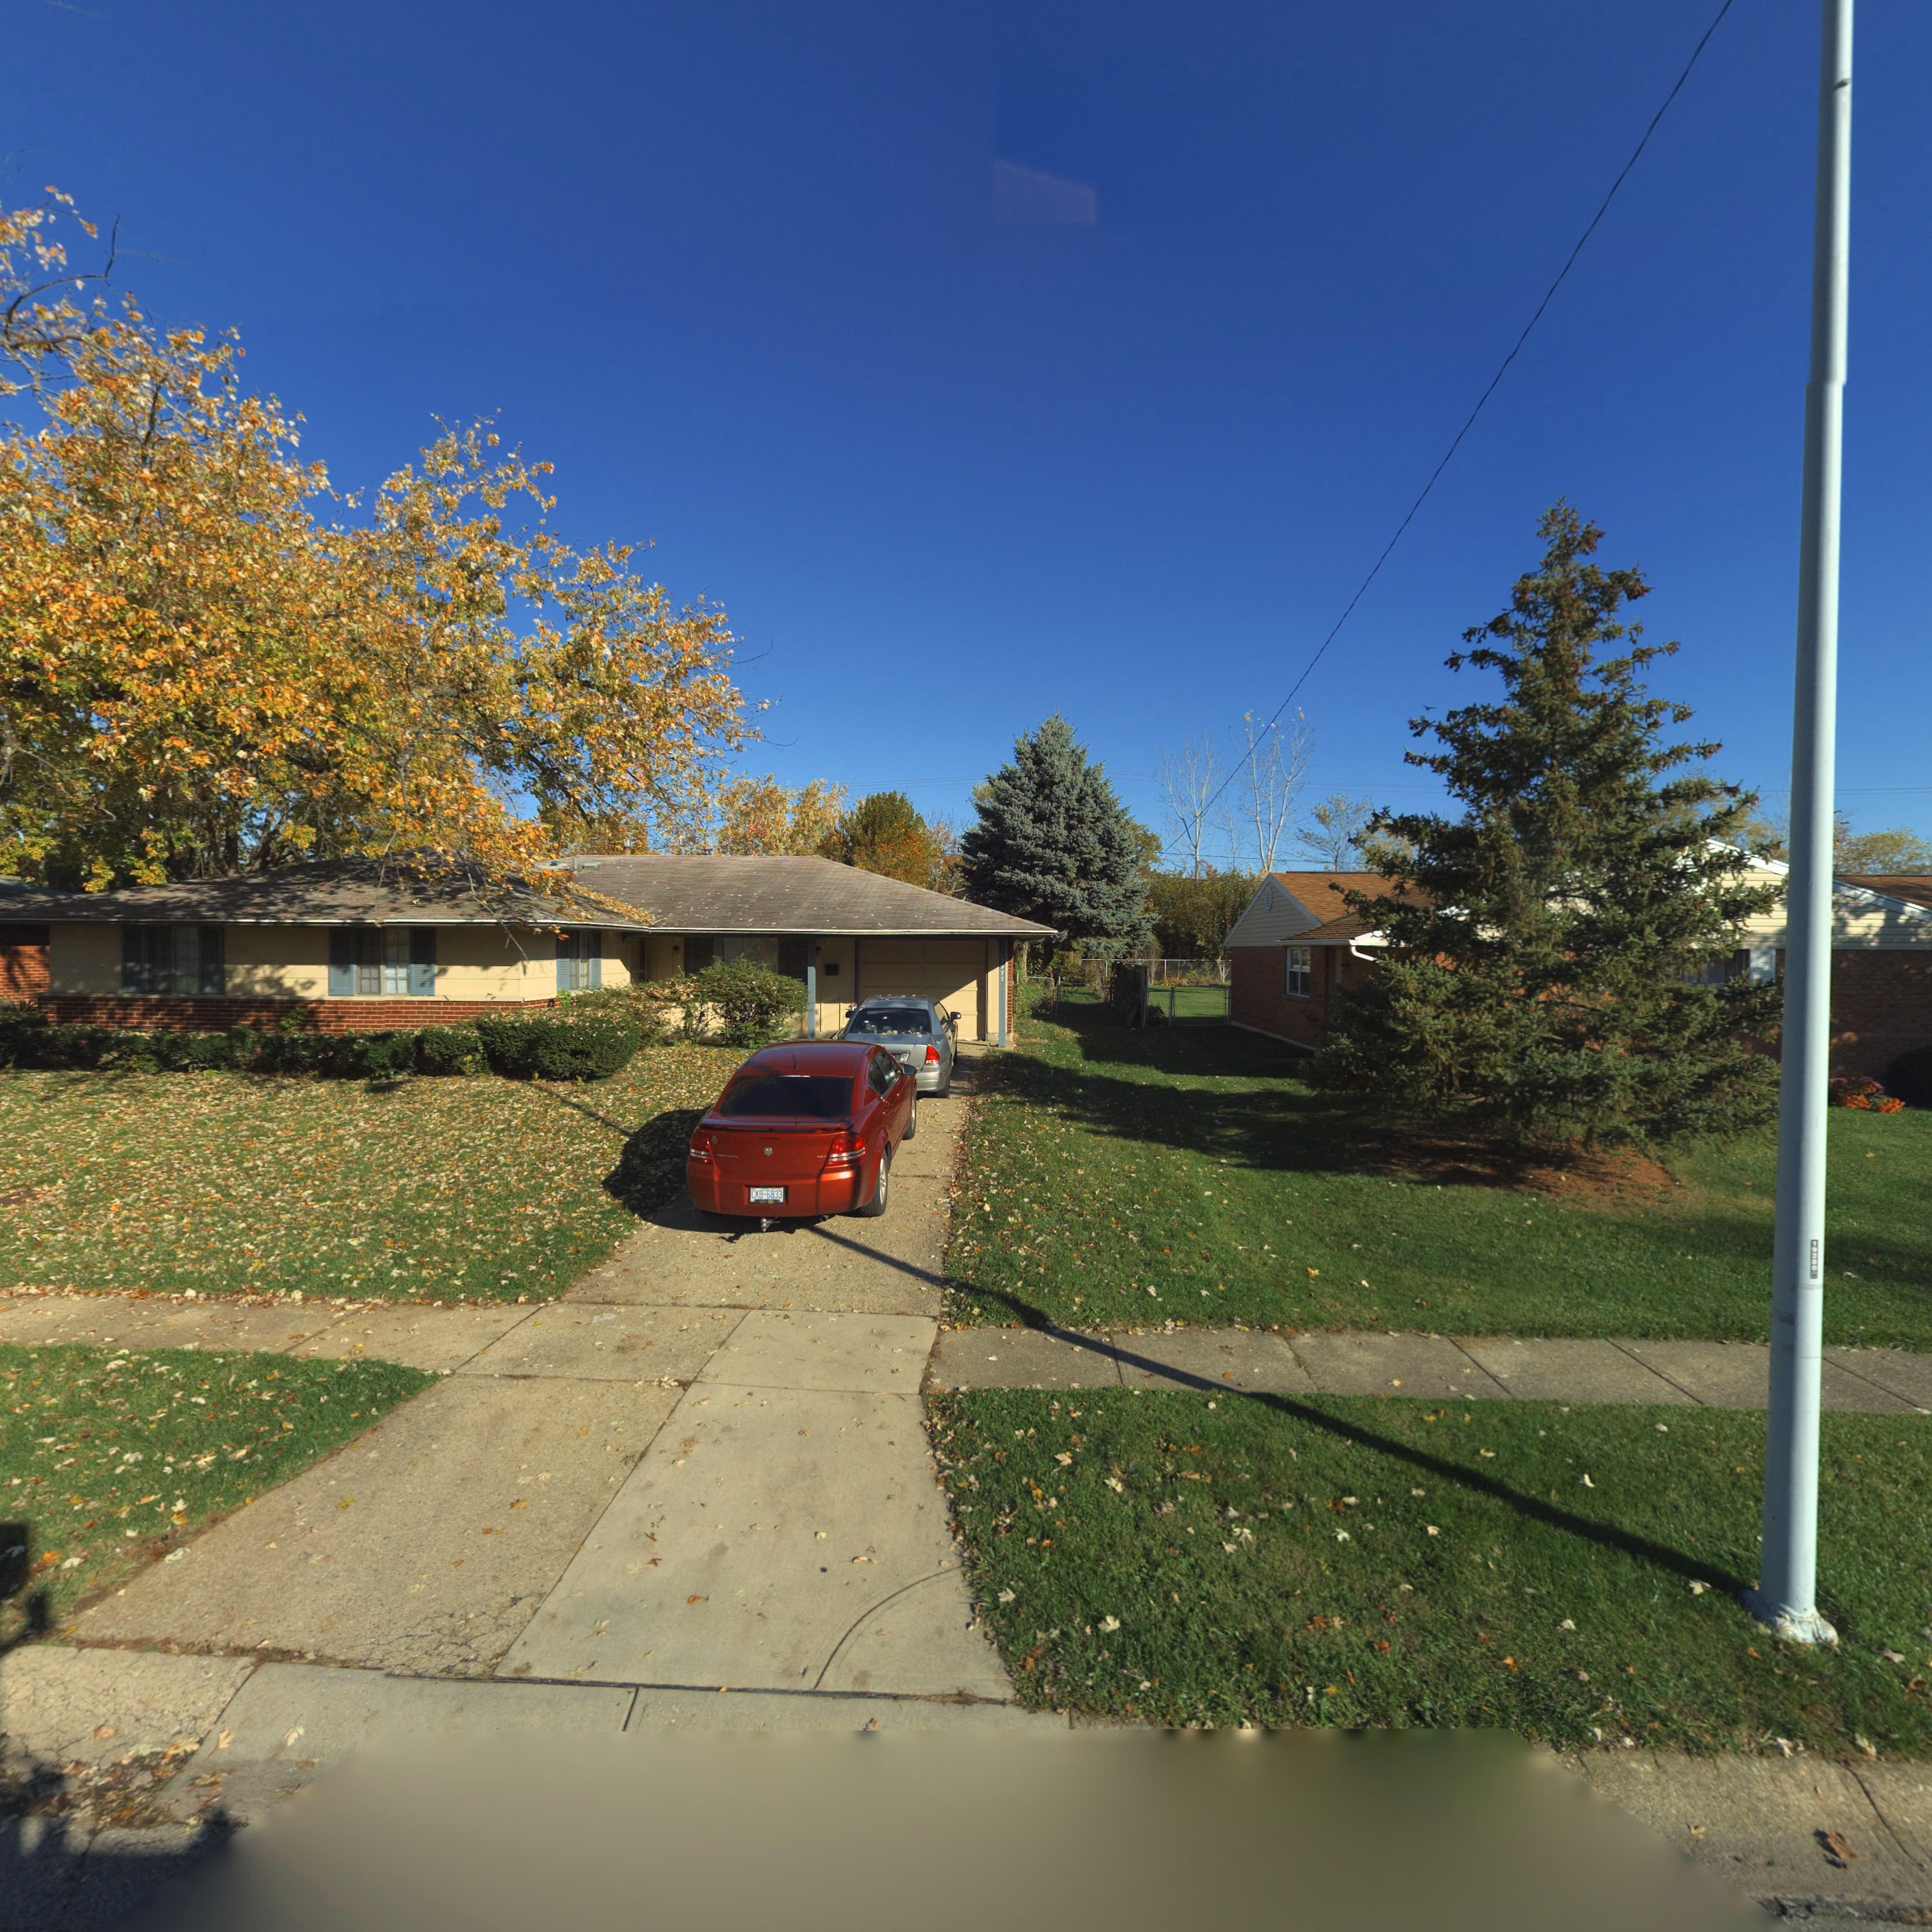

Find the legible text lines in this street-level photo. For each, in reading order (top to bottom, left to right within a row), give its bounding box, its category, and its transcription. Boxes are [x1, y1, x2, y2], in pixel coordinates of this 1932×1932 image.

[1000, 957, 1005, 982] StreetNumber: 7*77